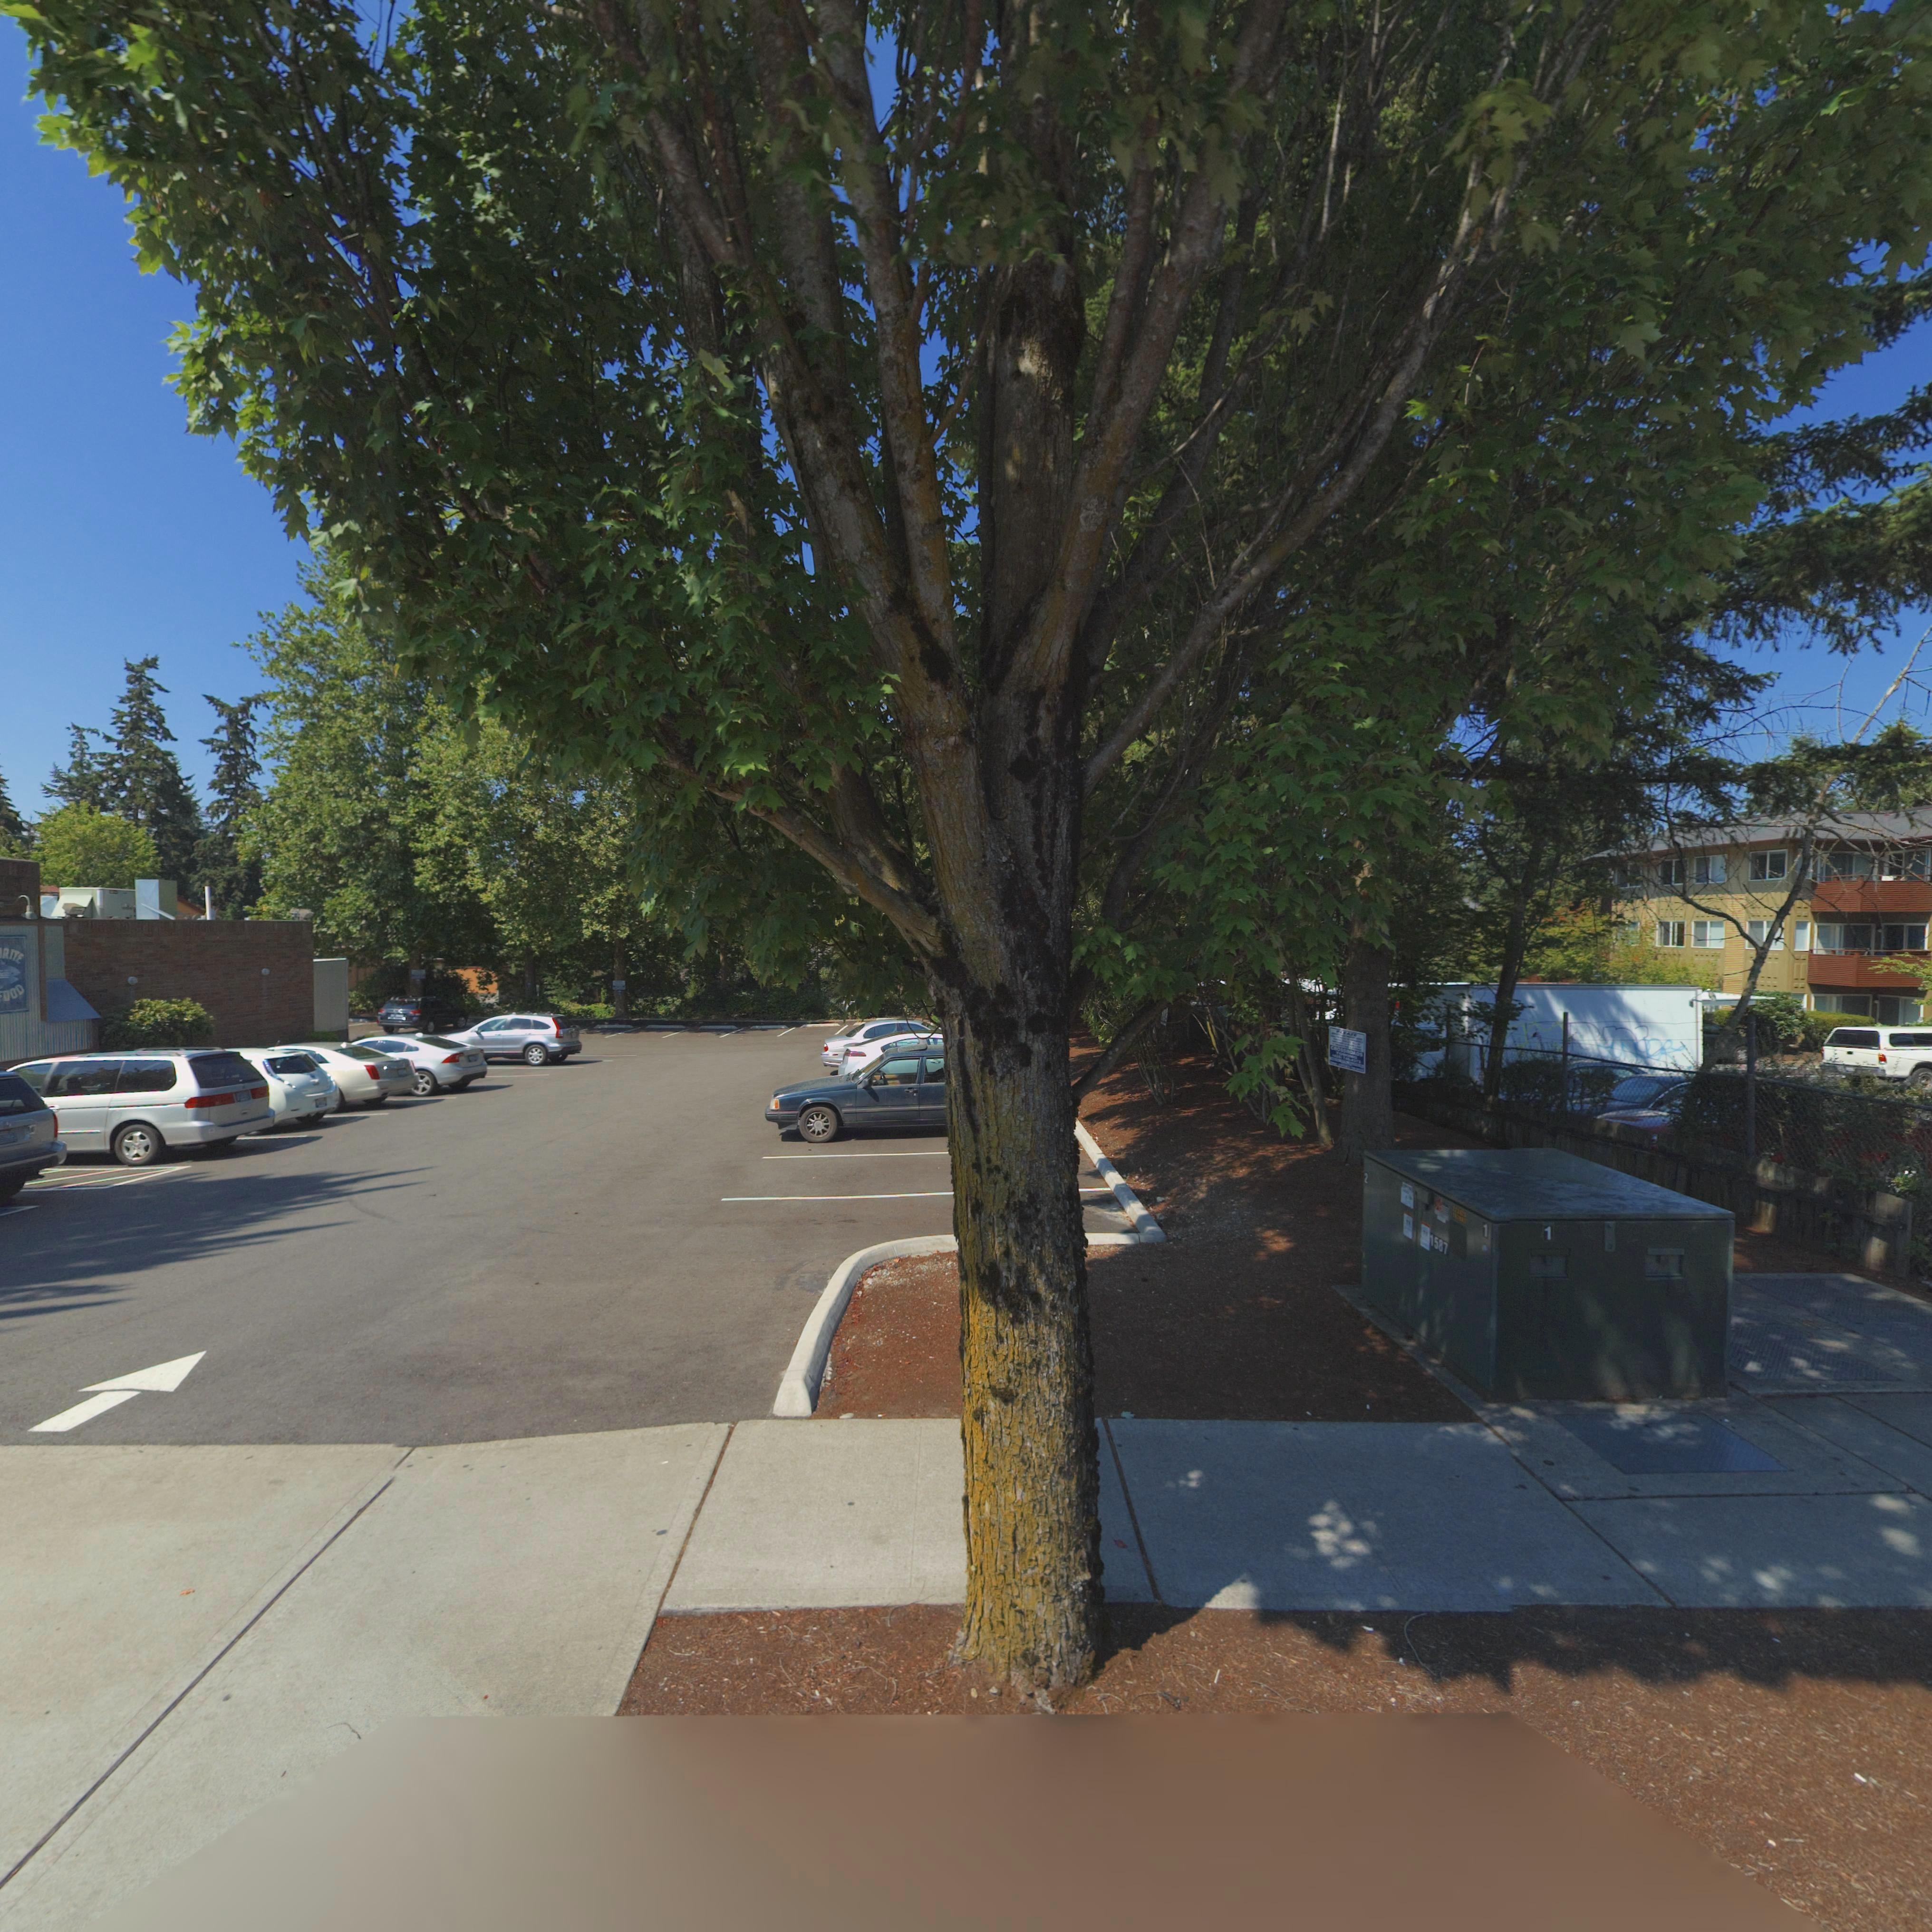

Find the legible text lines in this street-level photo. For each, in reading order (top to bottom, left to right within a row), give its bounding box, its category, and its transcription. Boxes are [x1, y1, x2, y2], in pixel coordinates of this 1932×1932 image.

[1429, 1233, 1449, 1256] StreetNumber: 1587